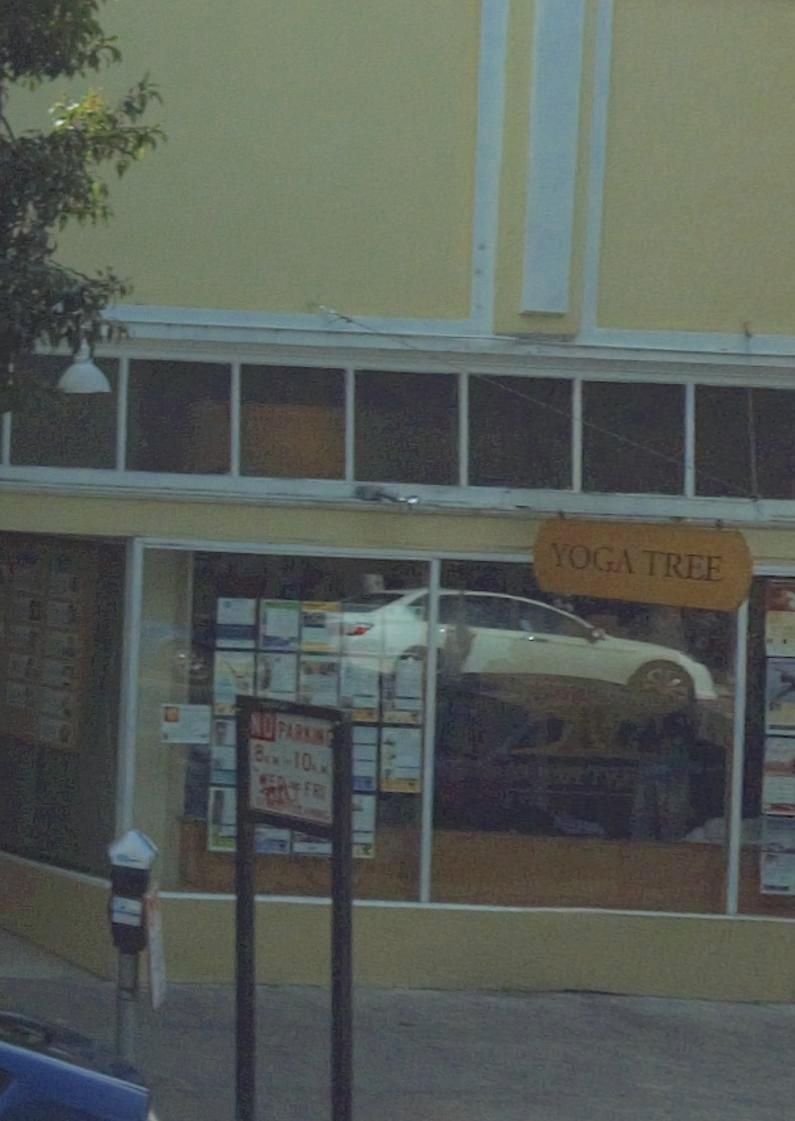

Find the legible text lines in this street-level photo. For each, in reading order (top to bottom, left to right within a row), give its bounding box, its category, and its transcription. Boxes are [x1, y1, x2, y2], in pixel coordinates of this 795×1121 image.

[551, 538, 726, 585] BusinessName: YOGA TREE
[248, 711, 337, 751] None: NO PARKING
[250, 740, 333, 780] None: 8** * 10**